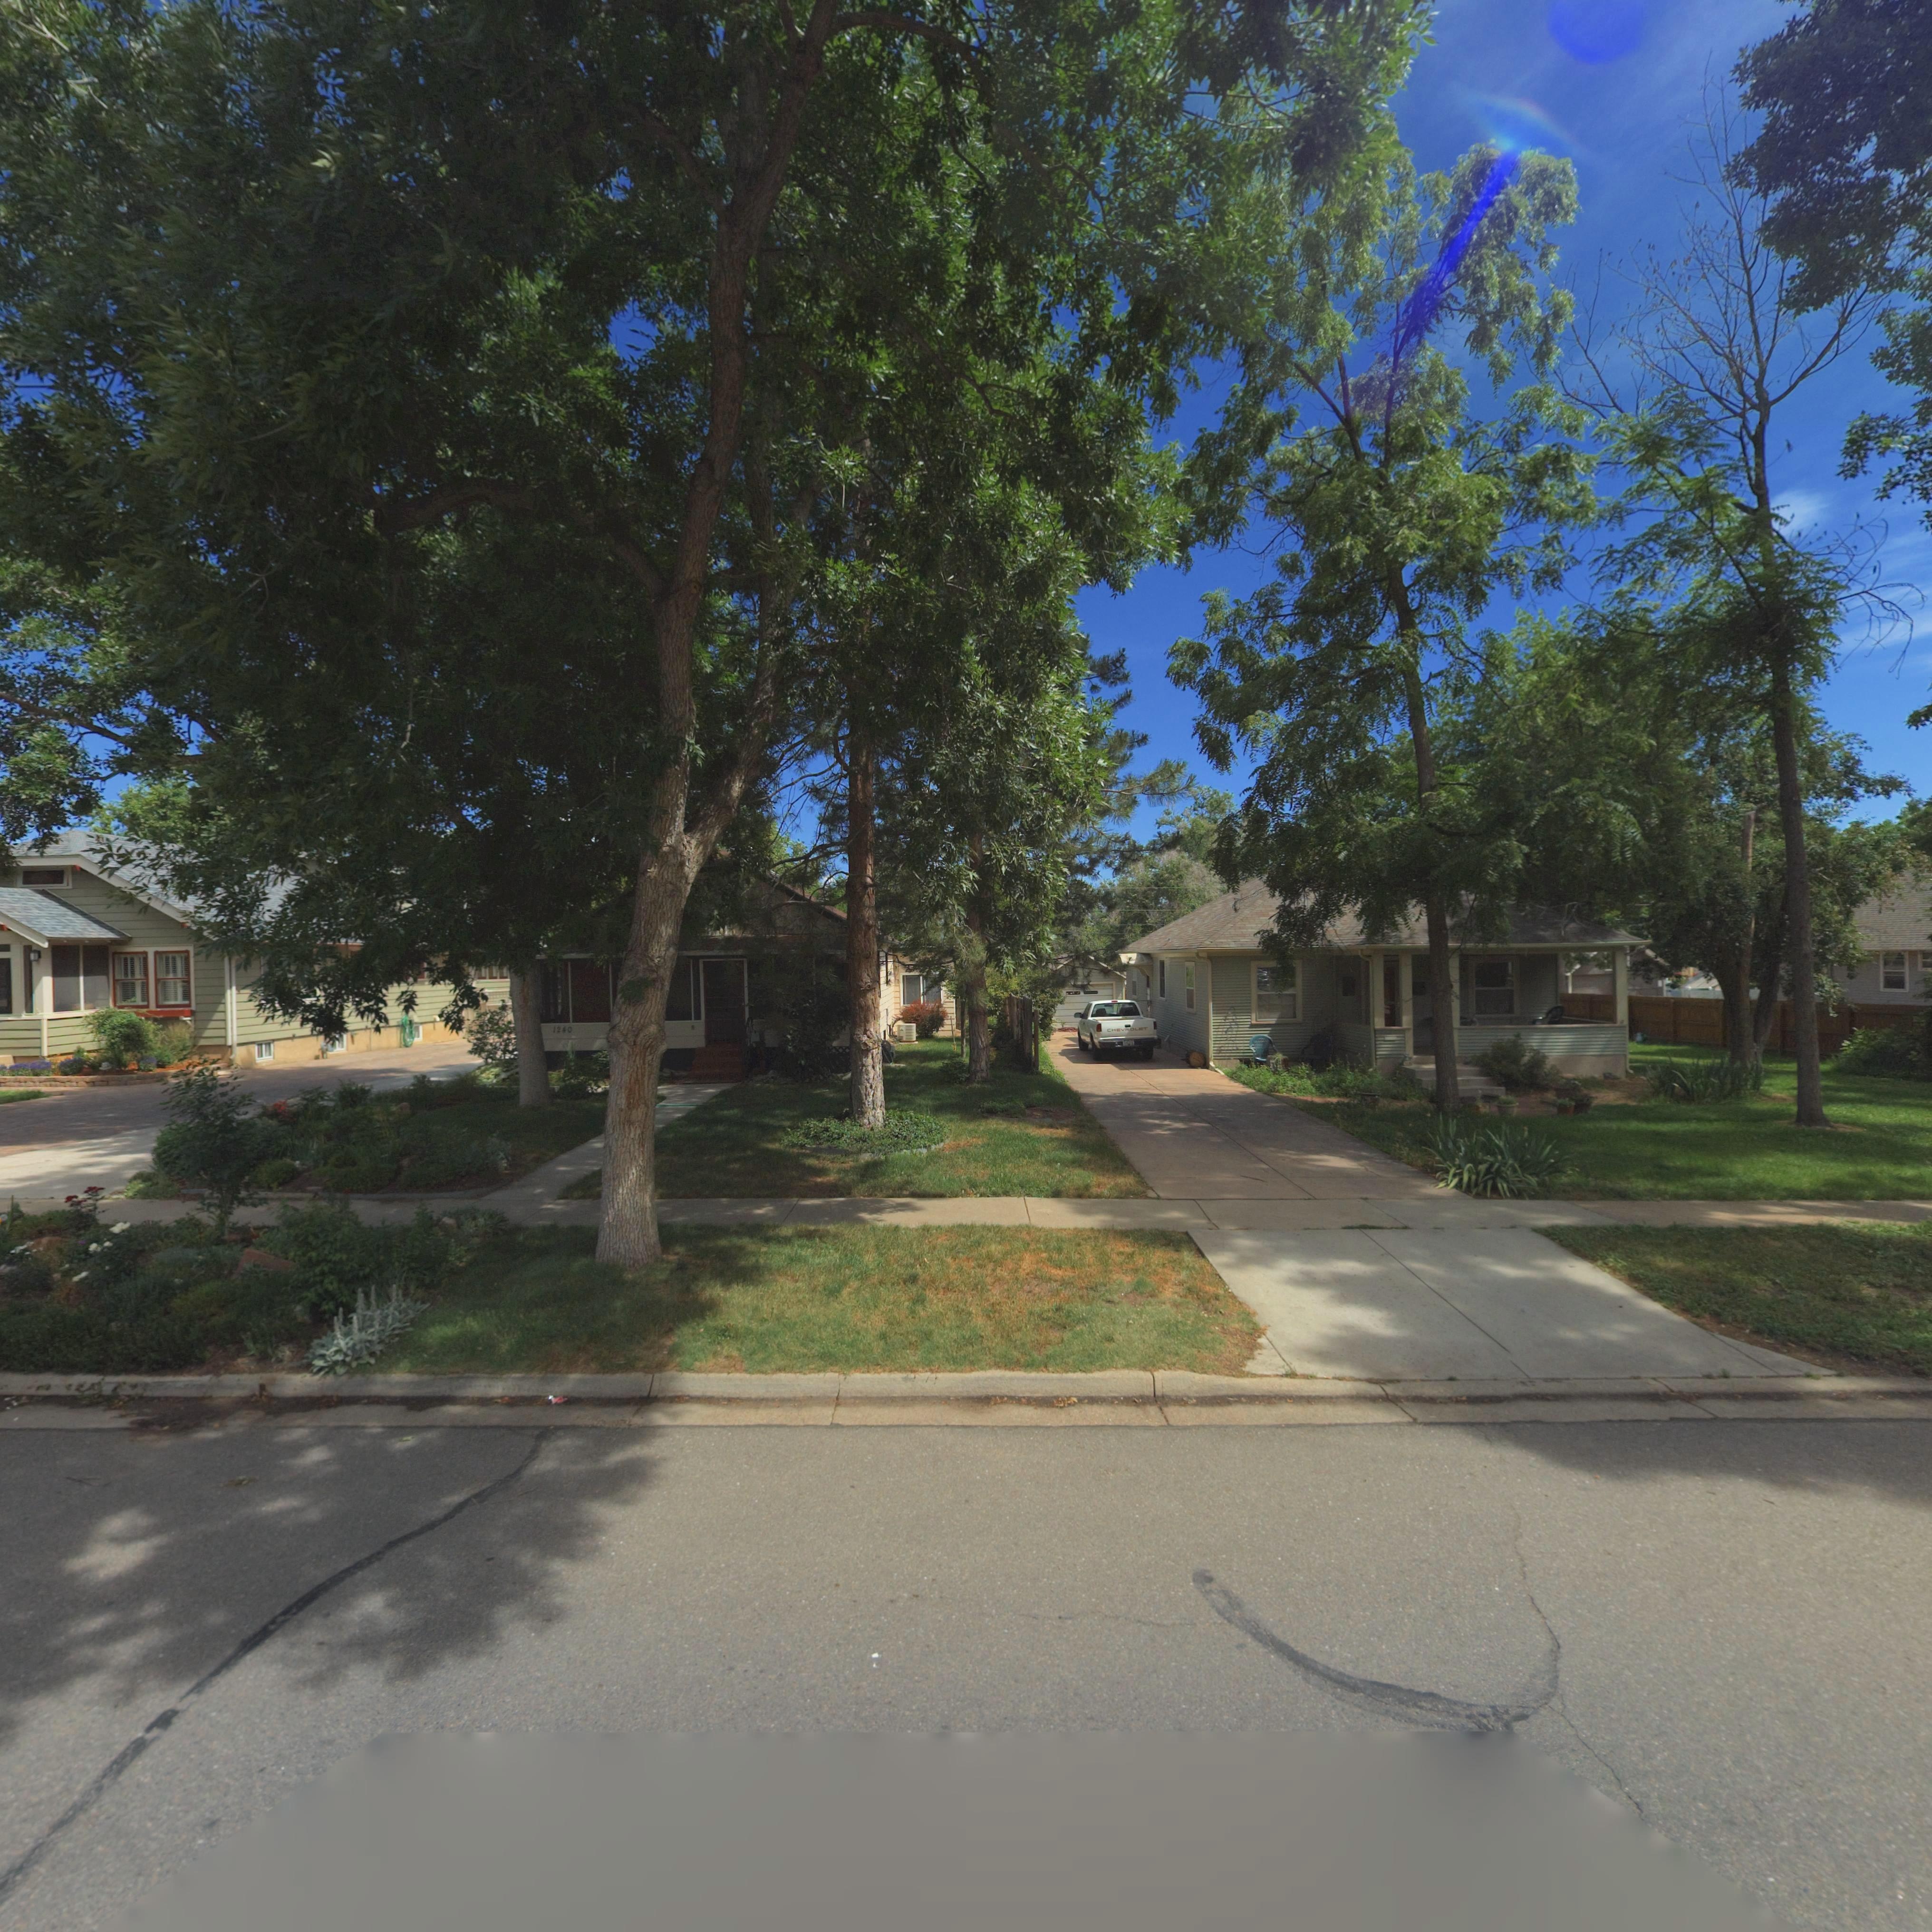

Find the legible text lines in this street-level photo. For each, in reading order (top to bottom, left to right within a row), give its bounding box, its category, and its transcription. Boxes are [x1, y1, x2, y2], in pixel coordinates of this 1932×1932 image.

[552, 1025, 572, 1033] StreetNumber: 1240